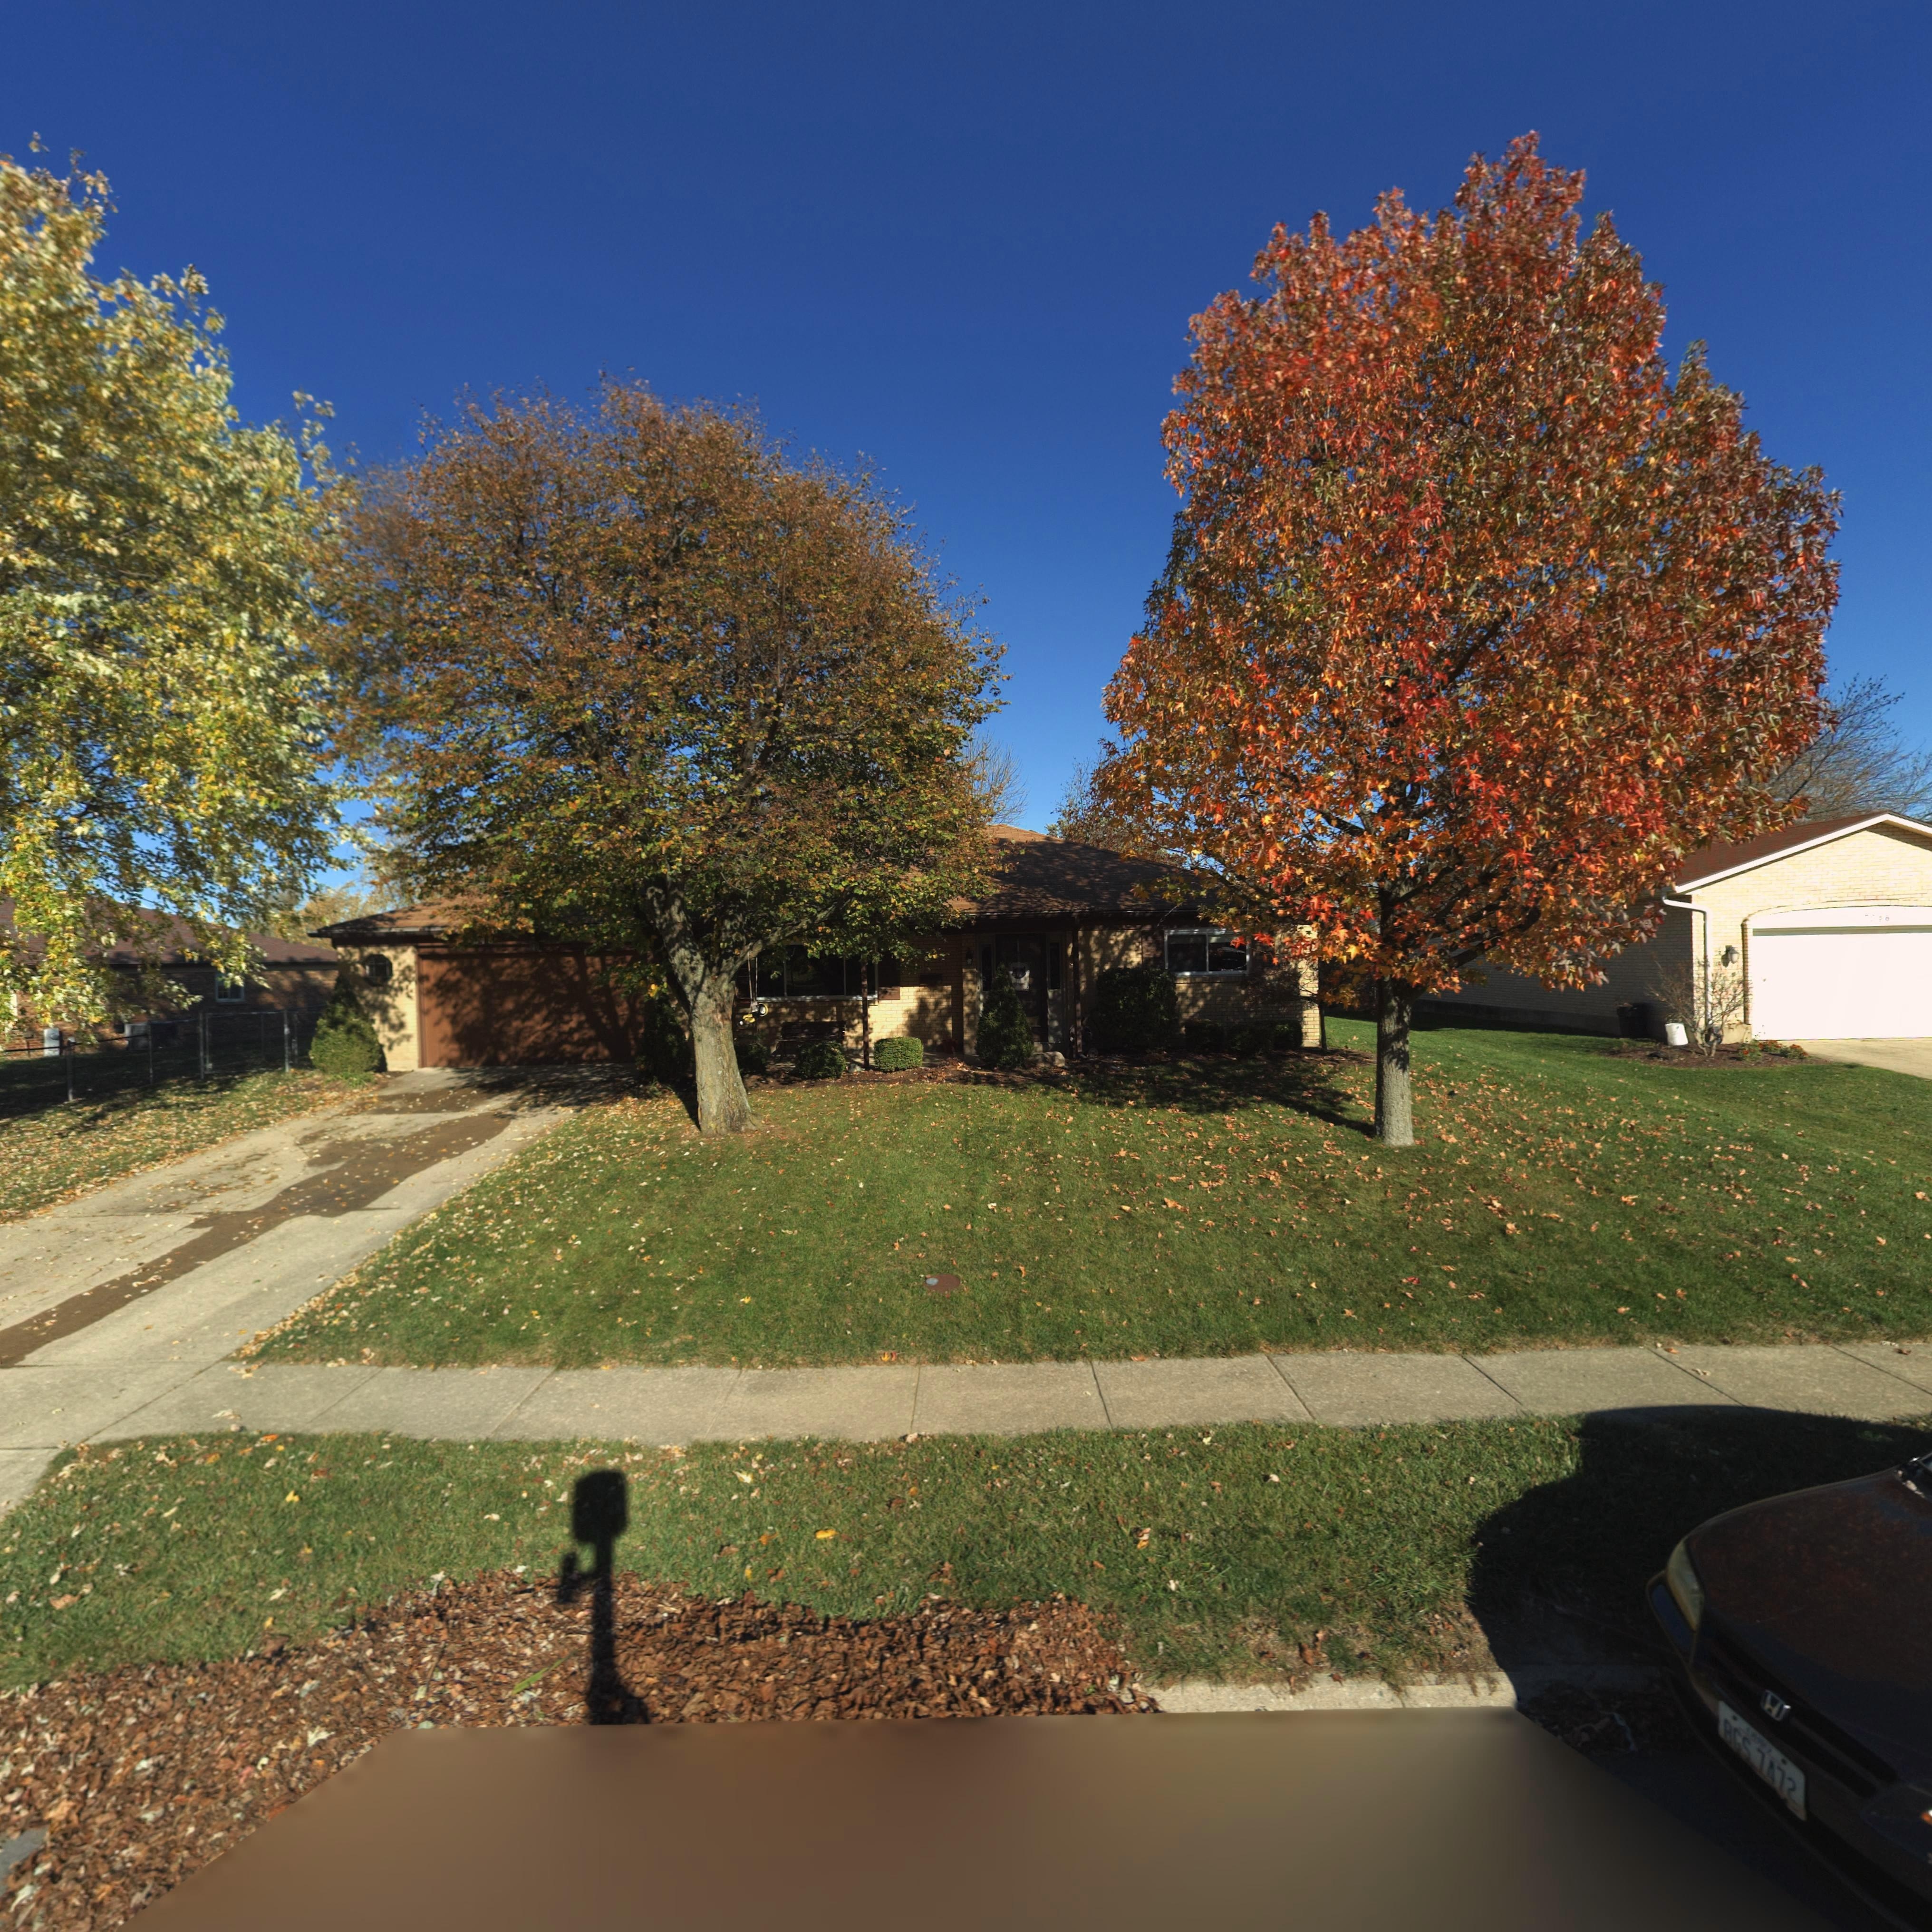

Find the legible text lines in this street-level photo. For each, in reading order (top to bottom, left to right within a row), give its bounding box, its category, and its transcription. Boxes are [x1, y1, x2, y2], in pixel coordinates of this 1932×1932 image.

[1864, 914, 1890, 922] StreetNumber: ***6
[479, 934, 494, 945] StreetNumber: 48